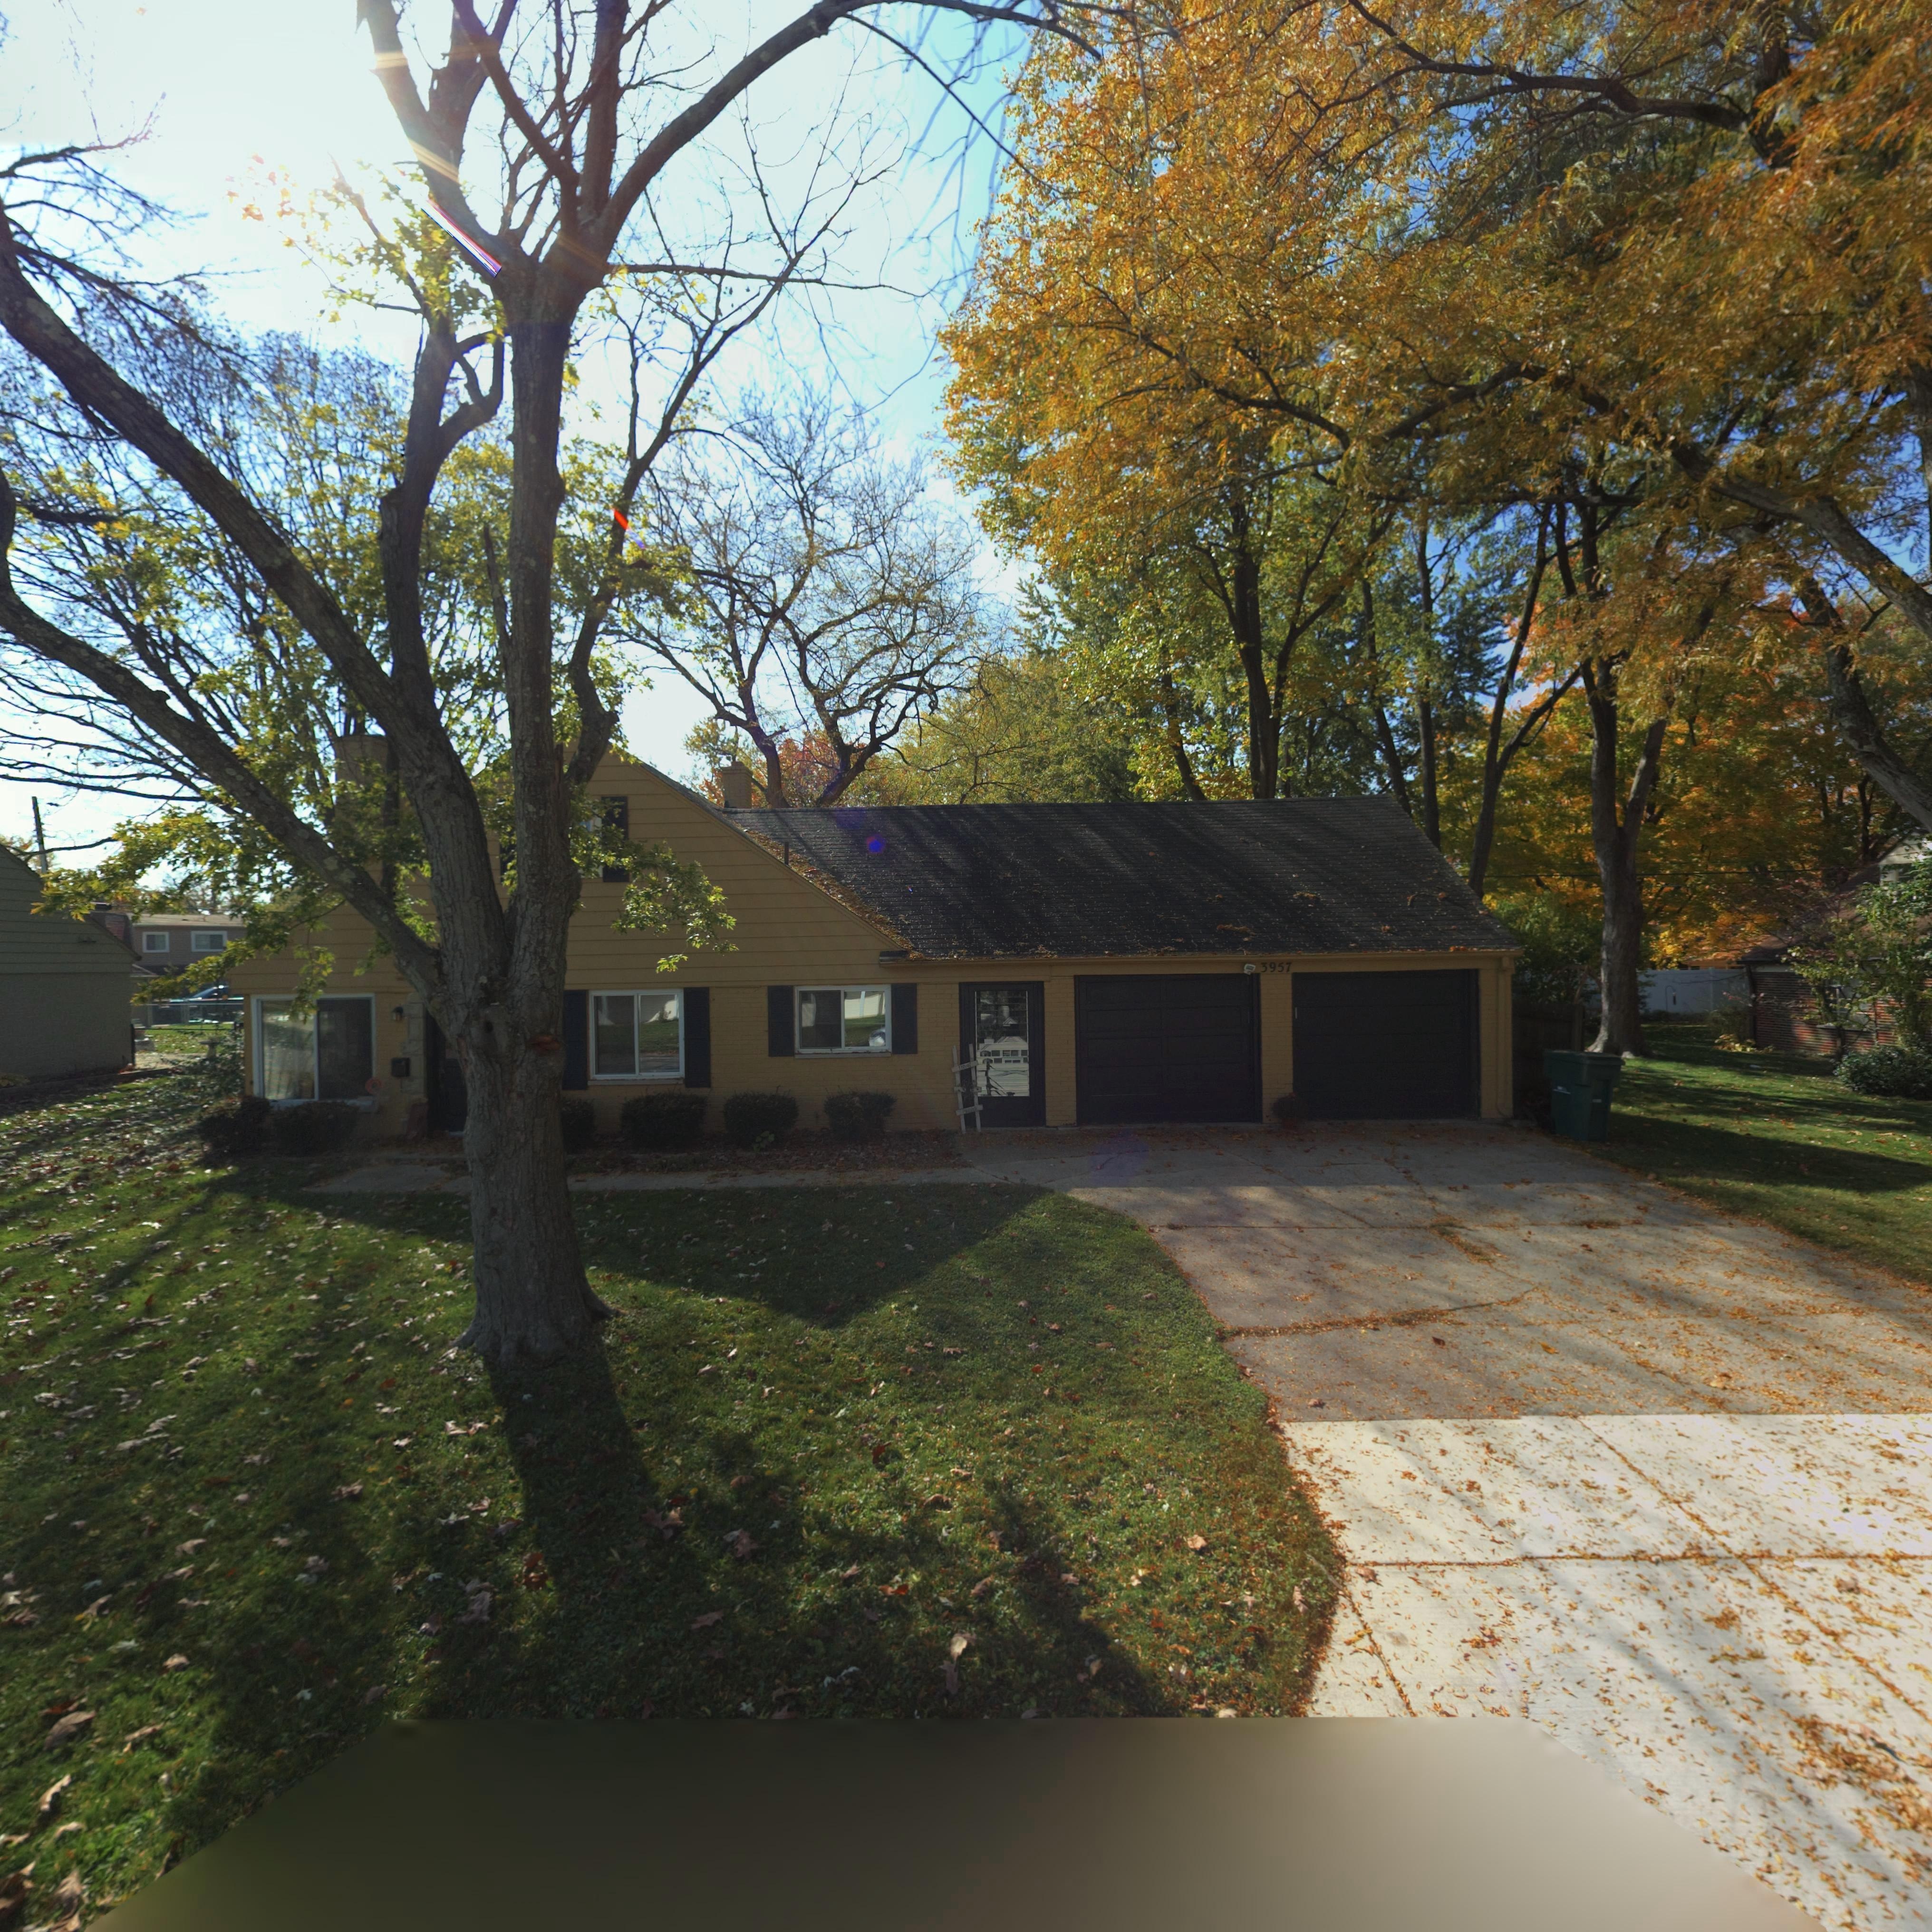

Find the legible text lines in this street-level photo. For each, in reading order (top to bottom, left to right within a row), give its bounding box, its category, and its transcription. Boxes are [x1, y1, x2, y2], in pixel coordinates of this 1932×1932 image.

[1259, 961, 1293, 974] StreetNumber: 3957